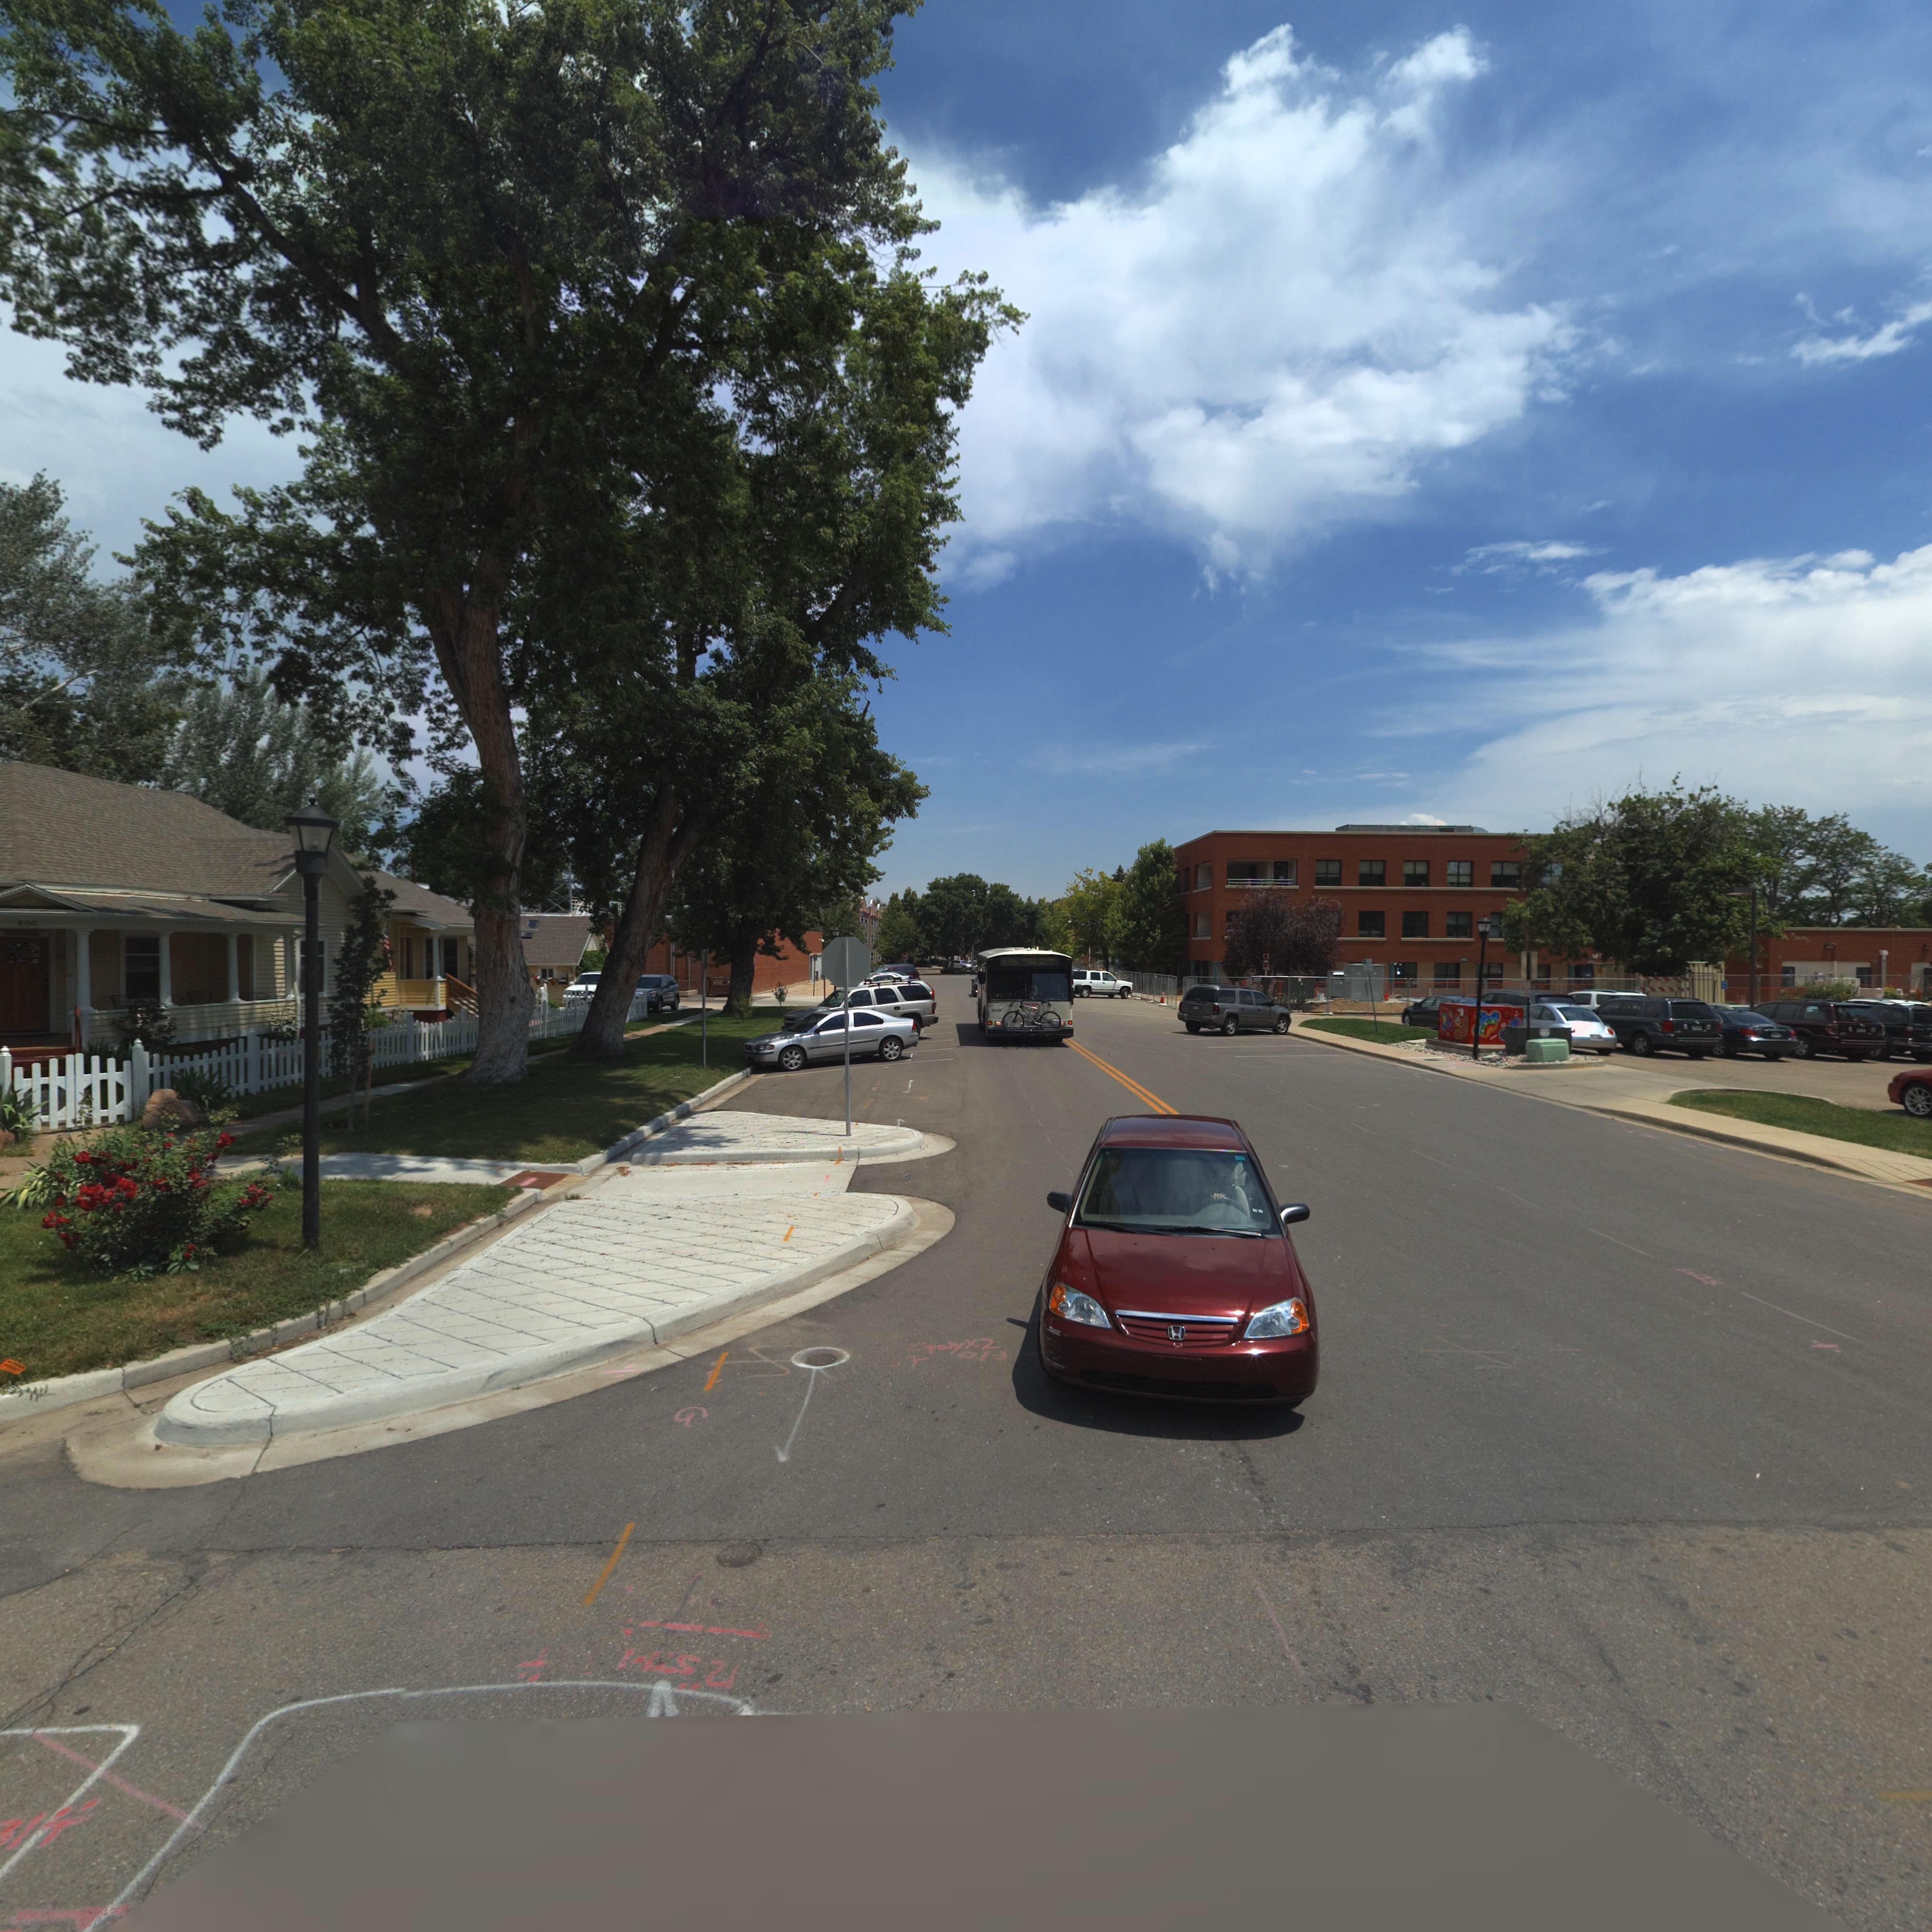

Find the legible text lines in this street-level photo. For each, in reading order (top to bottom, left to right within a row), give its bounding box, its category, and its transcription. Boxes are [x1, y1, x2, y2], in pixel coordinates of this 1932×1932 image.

[17, 919, 37, 926] StreetNumber: 600